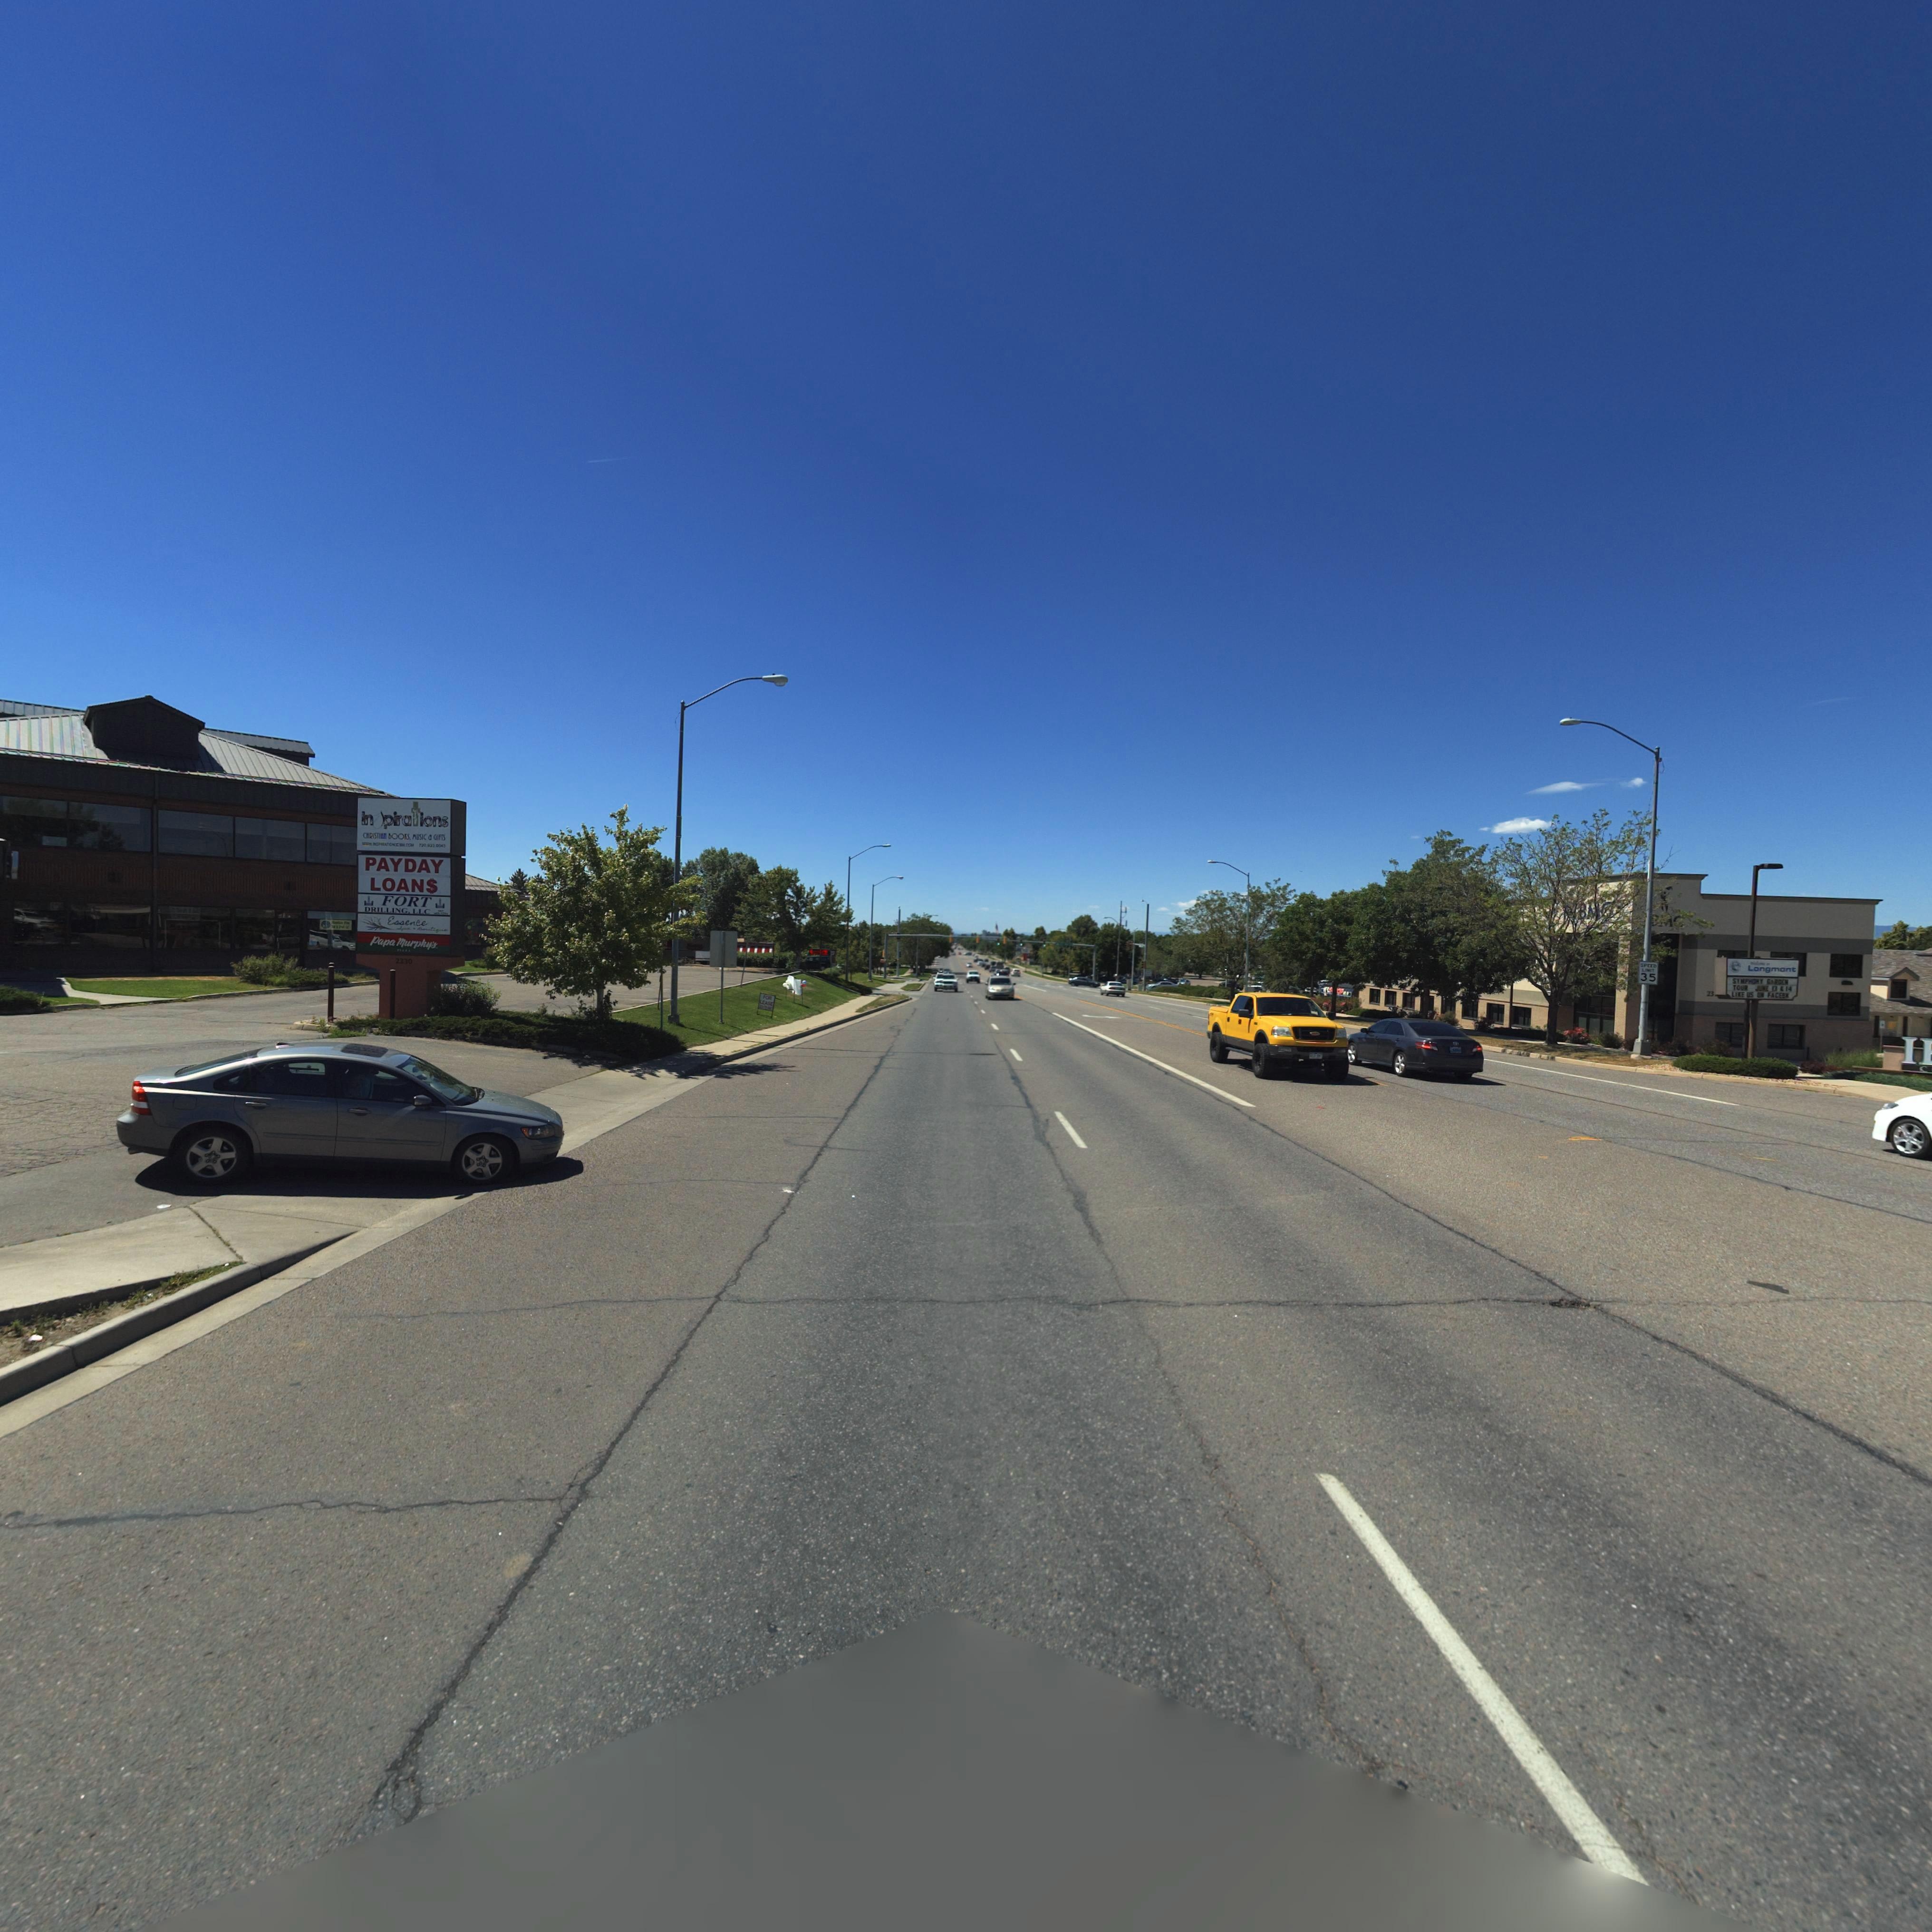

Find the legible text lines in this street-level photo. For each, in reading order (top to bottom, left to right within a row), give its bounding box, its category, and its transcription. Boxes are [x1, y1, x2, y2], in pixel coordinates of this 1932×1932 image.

[361, 801, 449, 830] BusinessName: in*pirations
[370, 877, 438, 894] BusinessName: LOAN$
[380, 895, 432, 908] BusinessName: FORT
[364, 906, 430, 915] BusinessName: DRILLING, LLC
[1571, 900, 1614, 920] BusinessName: *BM*
[330, 920, 349, 925] BusinessName: M***t**n M**
[330, 924, 349, 929] BusinessName: N** * F**** C**
[387, 915, 427, 926] BusinessName: Essence
[395, 957, 412, 964] StreetNumber: 2330
[1706, 990, 1714, 997] StreetNumber: 23
[1900, 1036, 1918, 1065] BusinessName: I
[1919, 1065, 1929, 1072] BusinessName: C